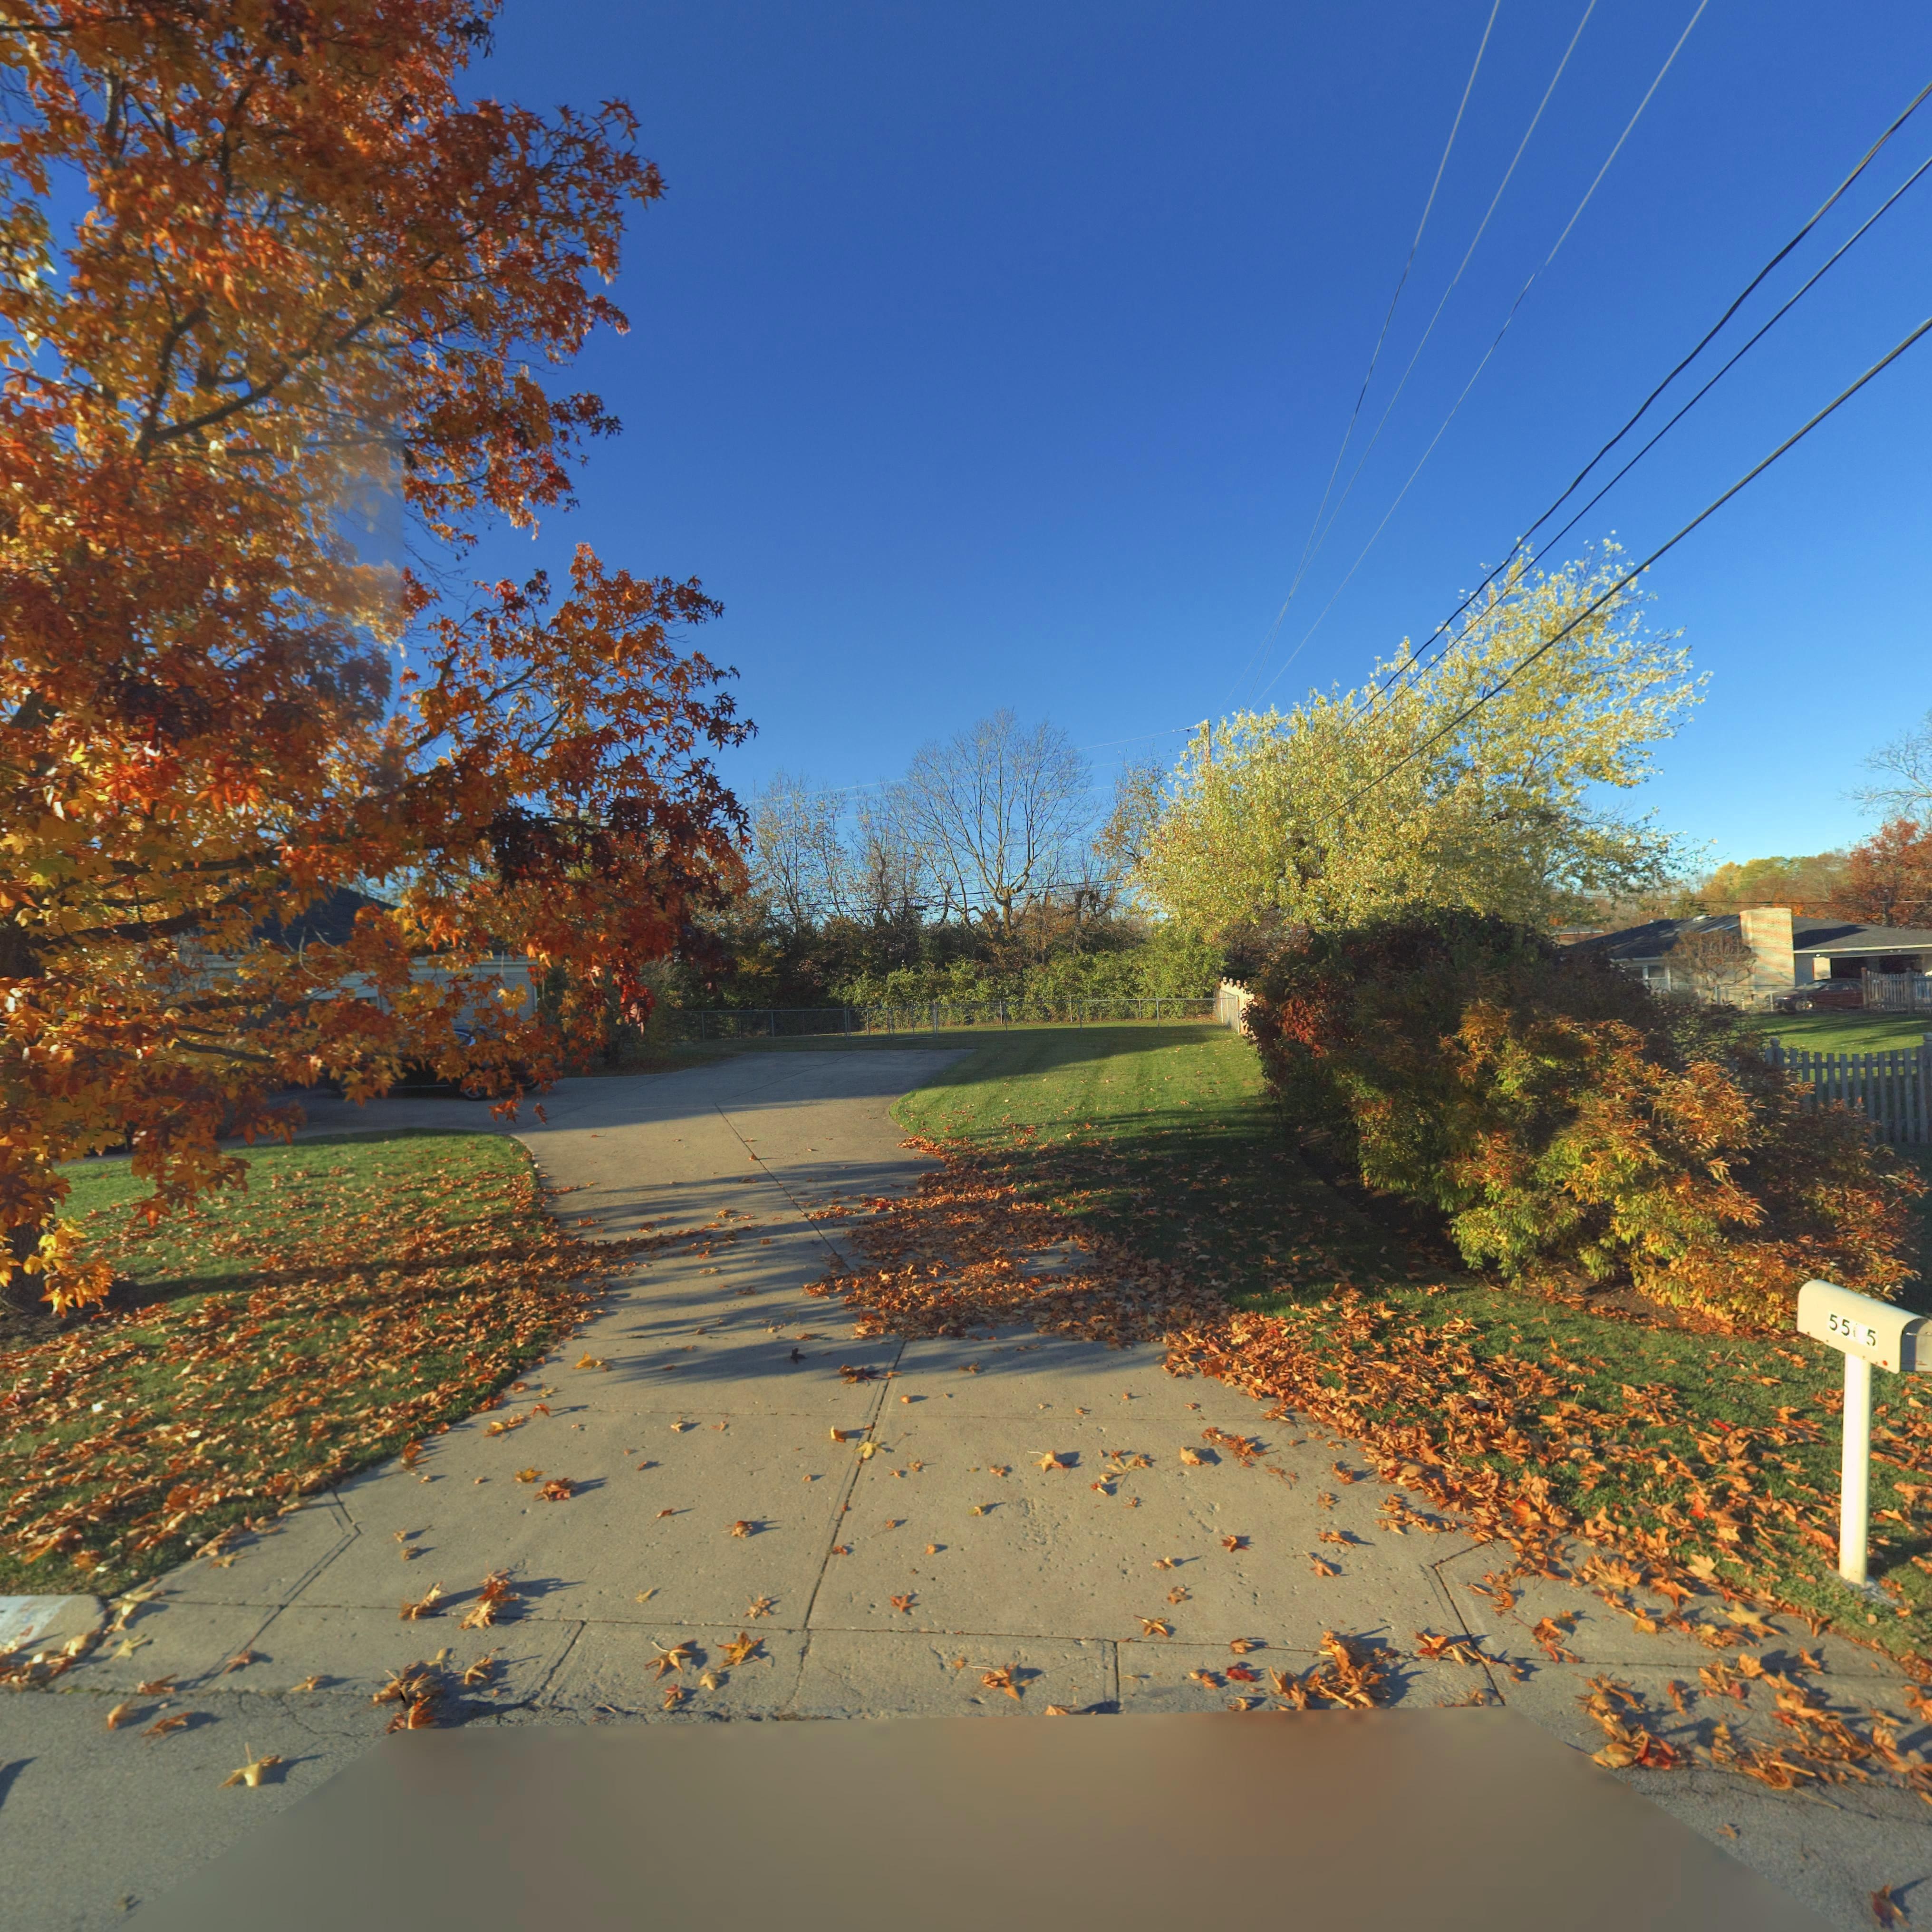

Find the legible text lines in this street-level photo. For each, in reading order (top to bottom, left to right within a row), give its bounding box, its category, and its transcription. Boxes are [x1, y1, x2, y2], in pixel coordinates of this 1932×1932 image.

[1827, 1311, 1877, 1349] StreetNumber: 55*5